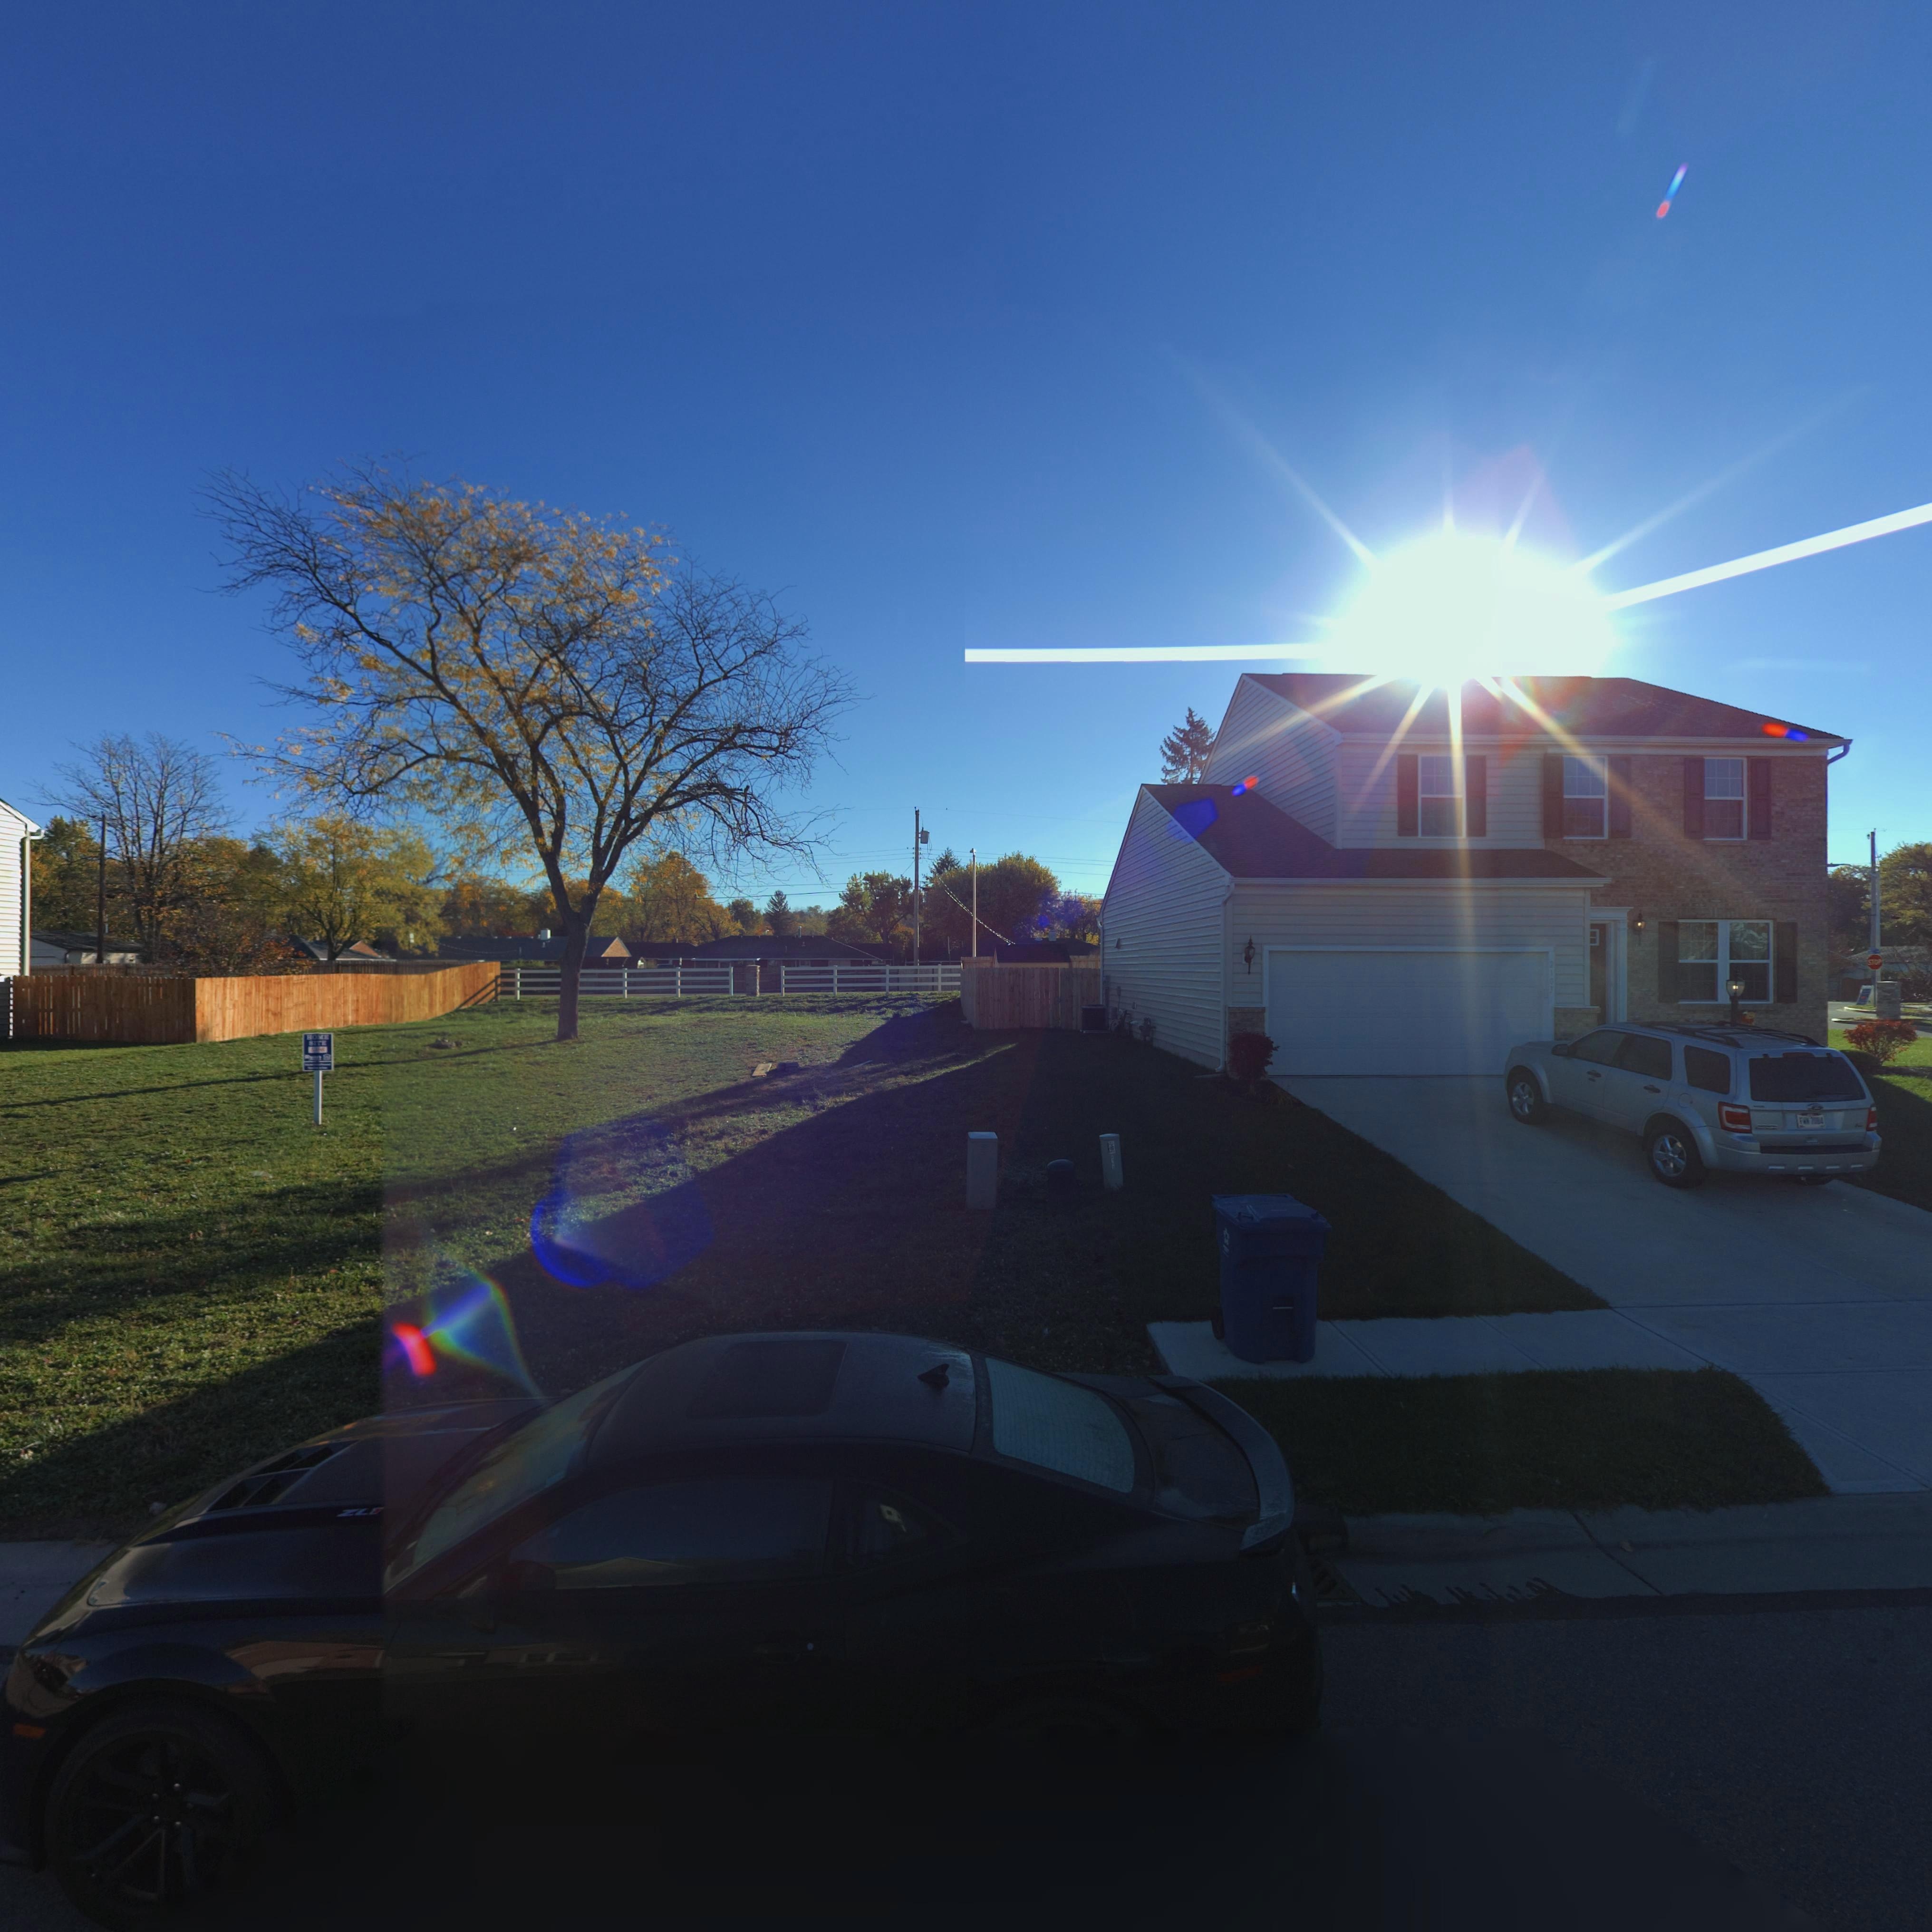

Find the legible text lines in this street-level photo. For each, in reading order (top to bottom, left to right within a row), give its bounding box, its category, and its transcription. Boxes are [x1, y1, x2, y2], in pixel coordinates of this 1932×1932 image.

[1548, 960, 1555, 994] StreetNumber: 2103